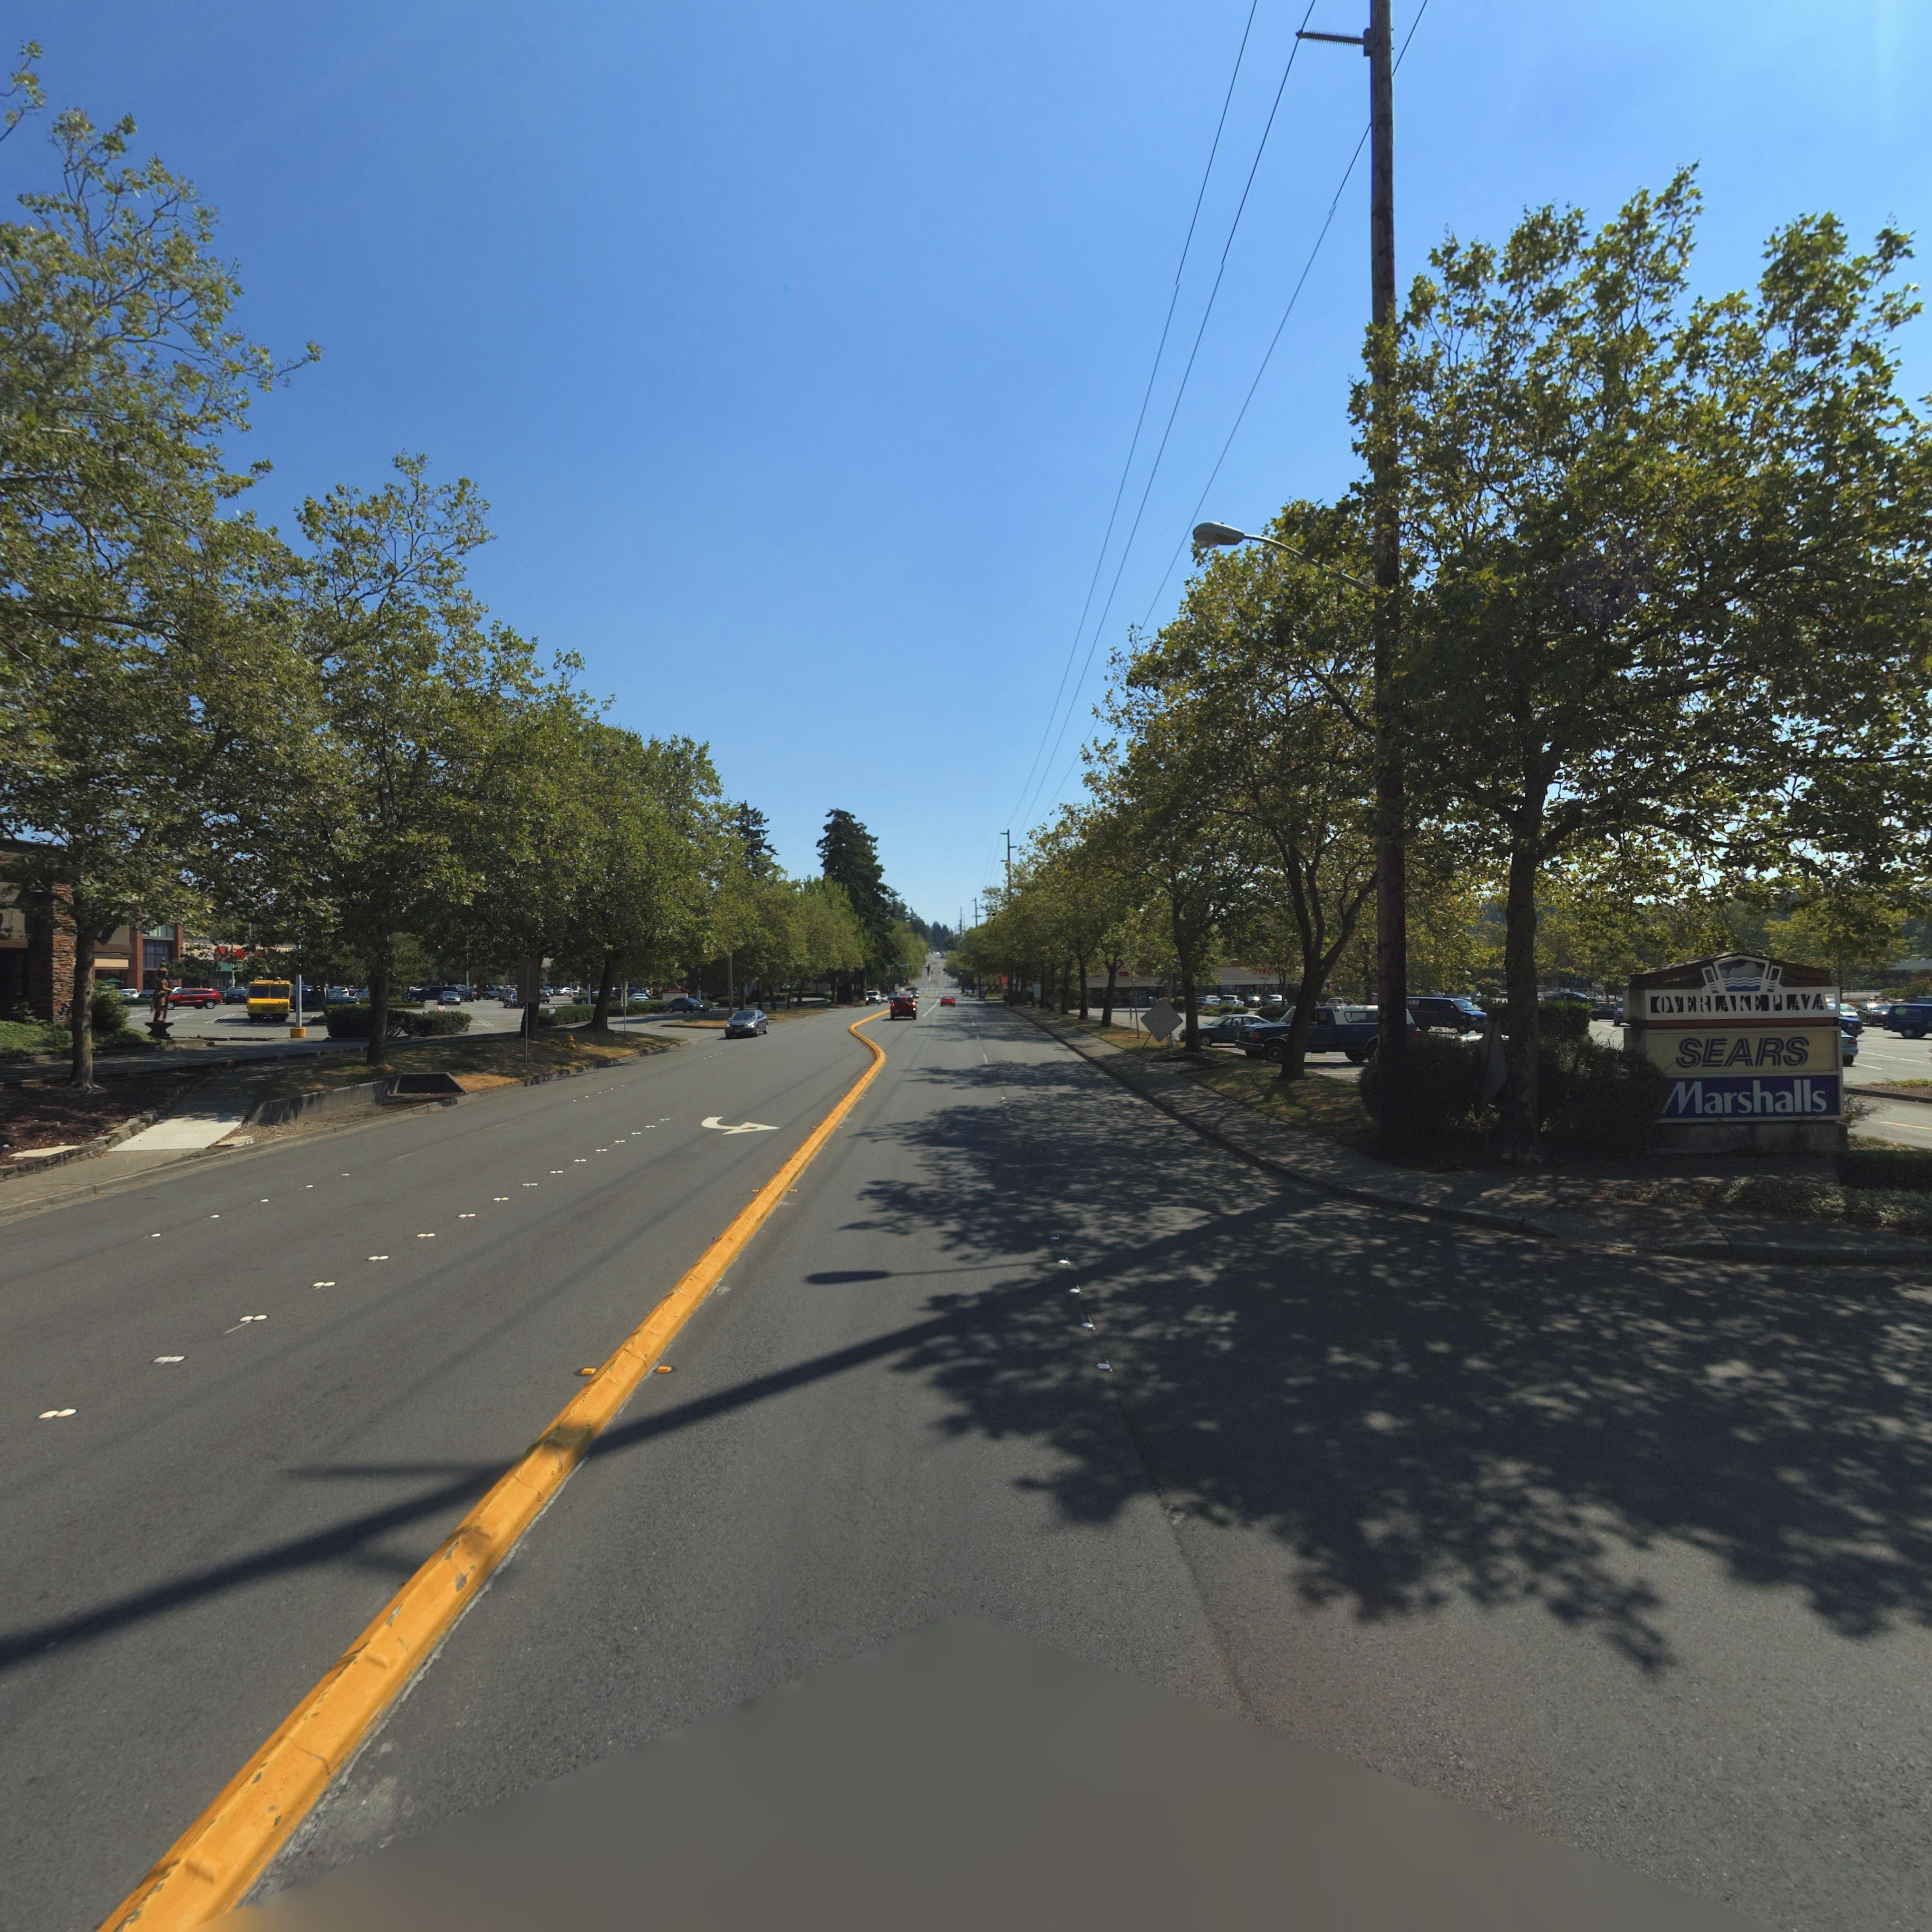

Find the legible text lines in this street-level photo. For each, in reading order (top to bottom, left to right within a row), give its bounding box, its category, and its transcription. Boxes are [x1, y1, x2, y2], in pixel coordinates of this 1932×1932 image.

[1656, 993, 1830, 1013] SecondaryUnitDesignator: OVERLAKE PLAZA
[1675, 1035, 1810, 1068] BusinessName: SEARS
[1660, 1080, 1826, 1114] BusinessName: Marshalls